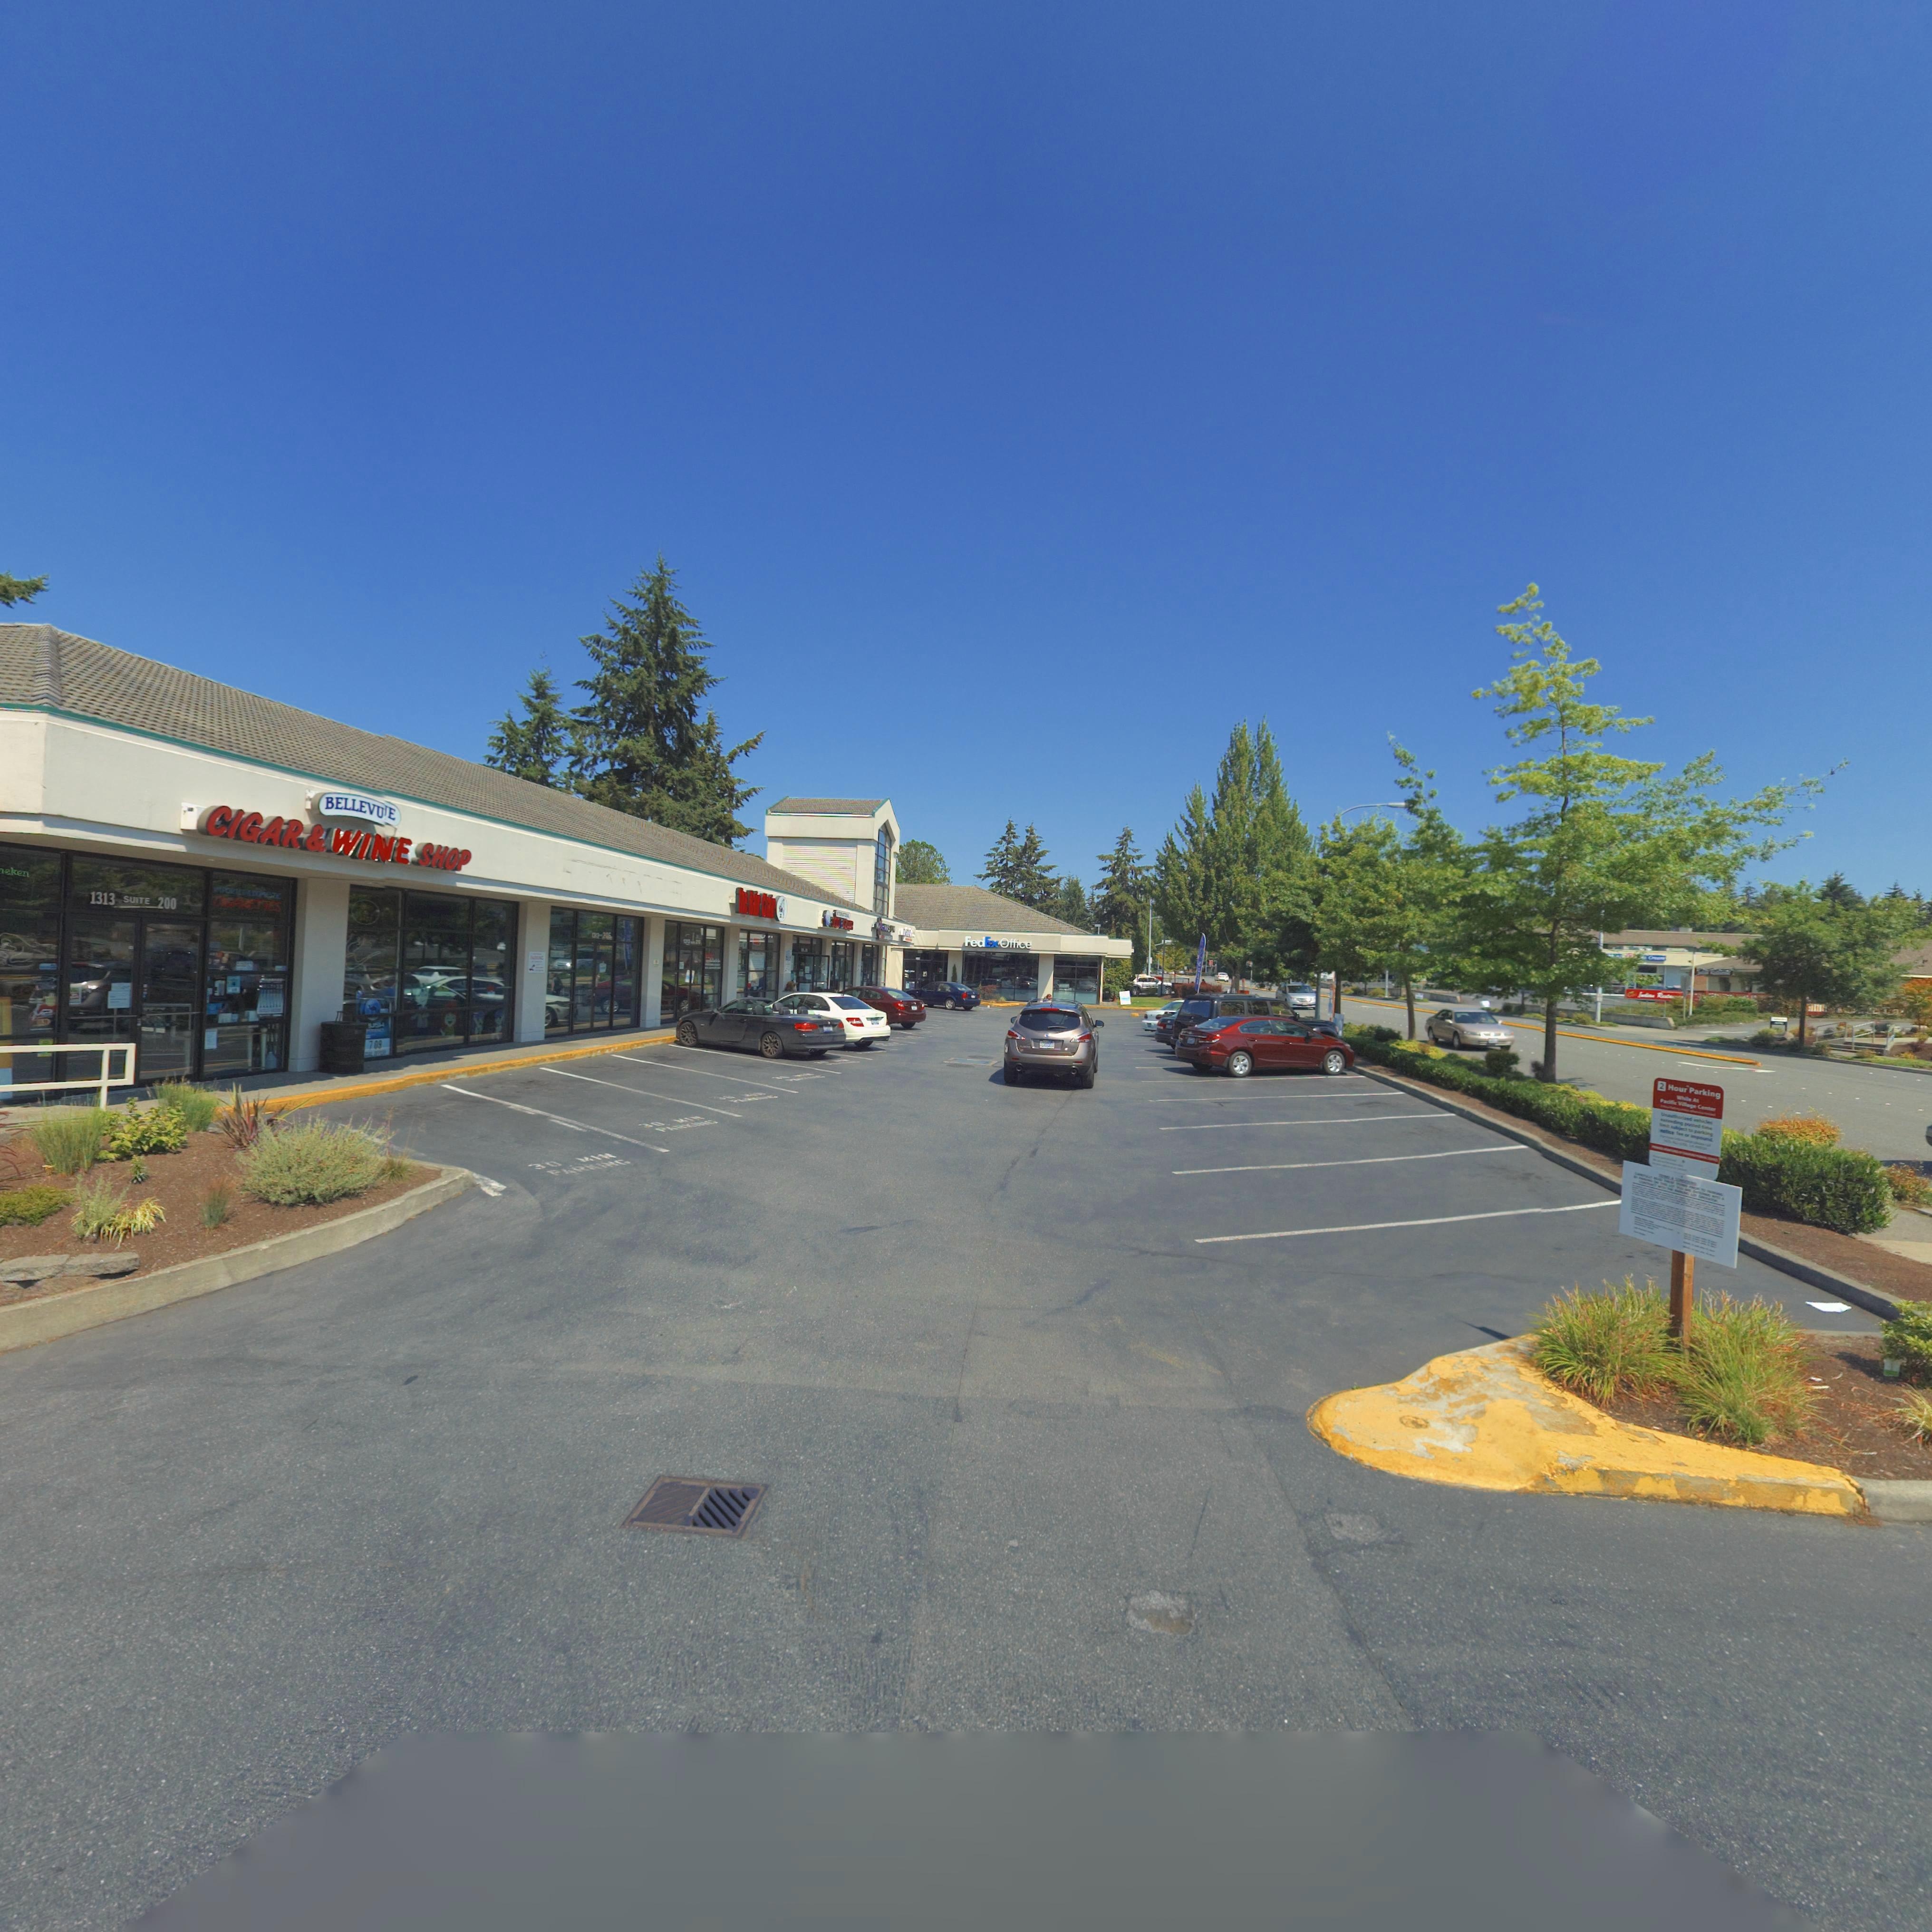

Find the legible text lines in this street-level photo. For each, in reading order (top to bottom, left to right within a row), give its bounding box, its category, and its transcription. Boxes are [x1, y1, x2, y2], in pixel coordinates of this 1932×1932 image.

[324, 794, 396, 821] BusinessName: BELLEVU*E
[197, 802, 473, 876] BusinessName: CIGAR*WINE SHOP
[87, 890, 118, 905] StreetNumber: 1313
[121, 894, 177, 911] SecondaryUnitDesignator: SUITE 200
[965, 935, 1033, 949] BusinessName: FedEx Office